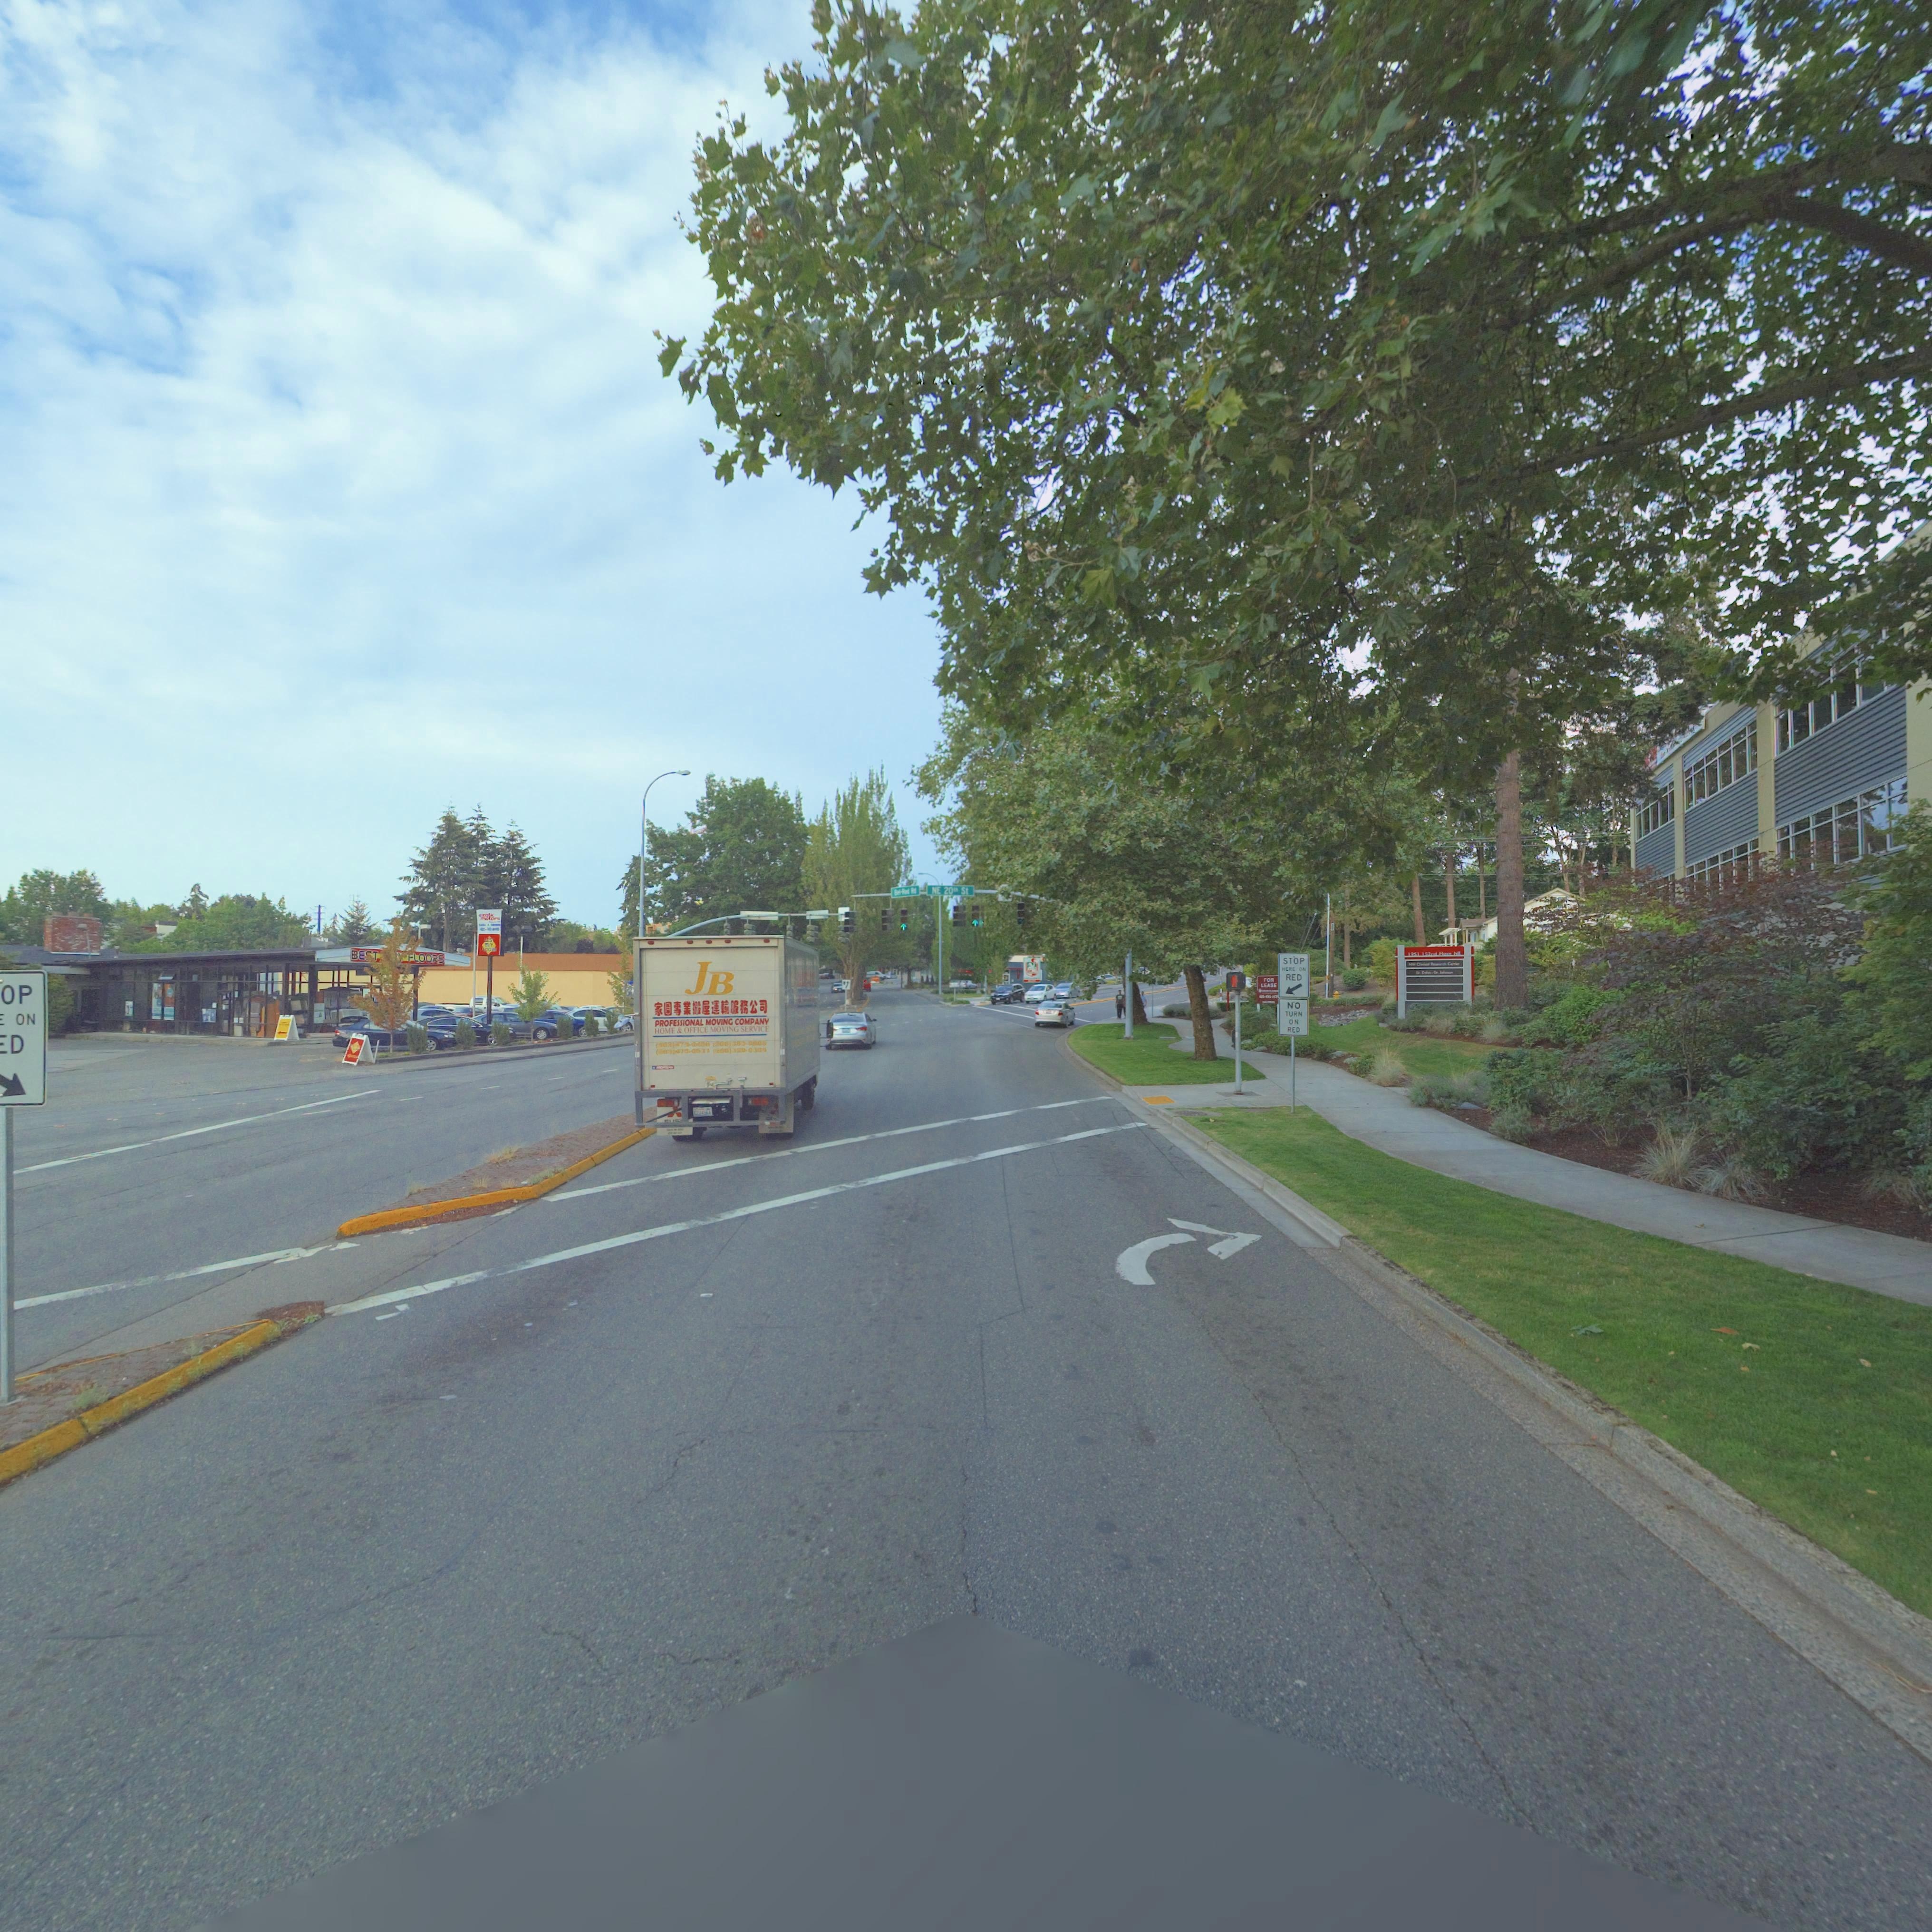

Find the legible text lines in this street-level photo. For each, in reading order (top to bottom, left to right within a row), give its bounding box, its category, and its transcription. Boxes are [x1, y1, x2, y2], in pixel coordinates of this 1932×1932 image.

[894, 887, 917, 896] StreetName: B***Re* Rd
[931, 886, 969, 896] StreetName: NE 20th St
[480, 917, 500, 921] BusinessName: motors
[350, 949, 444, 964] BusinessName: BE*T *** FLOORS
[1408, 951, 1420, 957] StreetNumber: 1951
[1421, 951, 1461, 956] StreetName: 152nd Pla** NE
[684, 961, 734, 995] BusinessName: JB